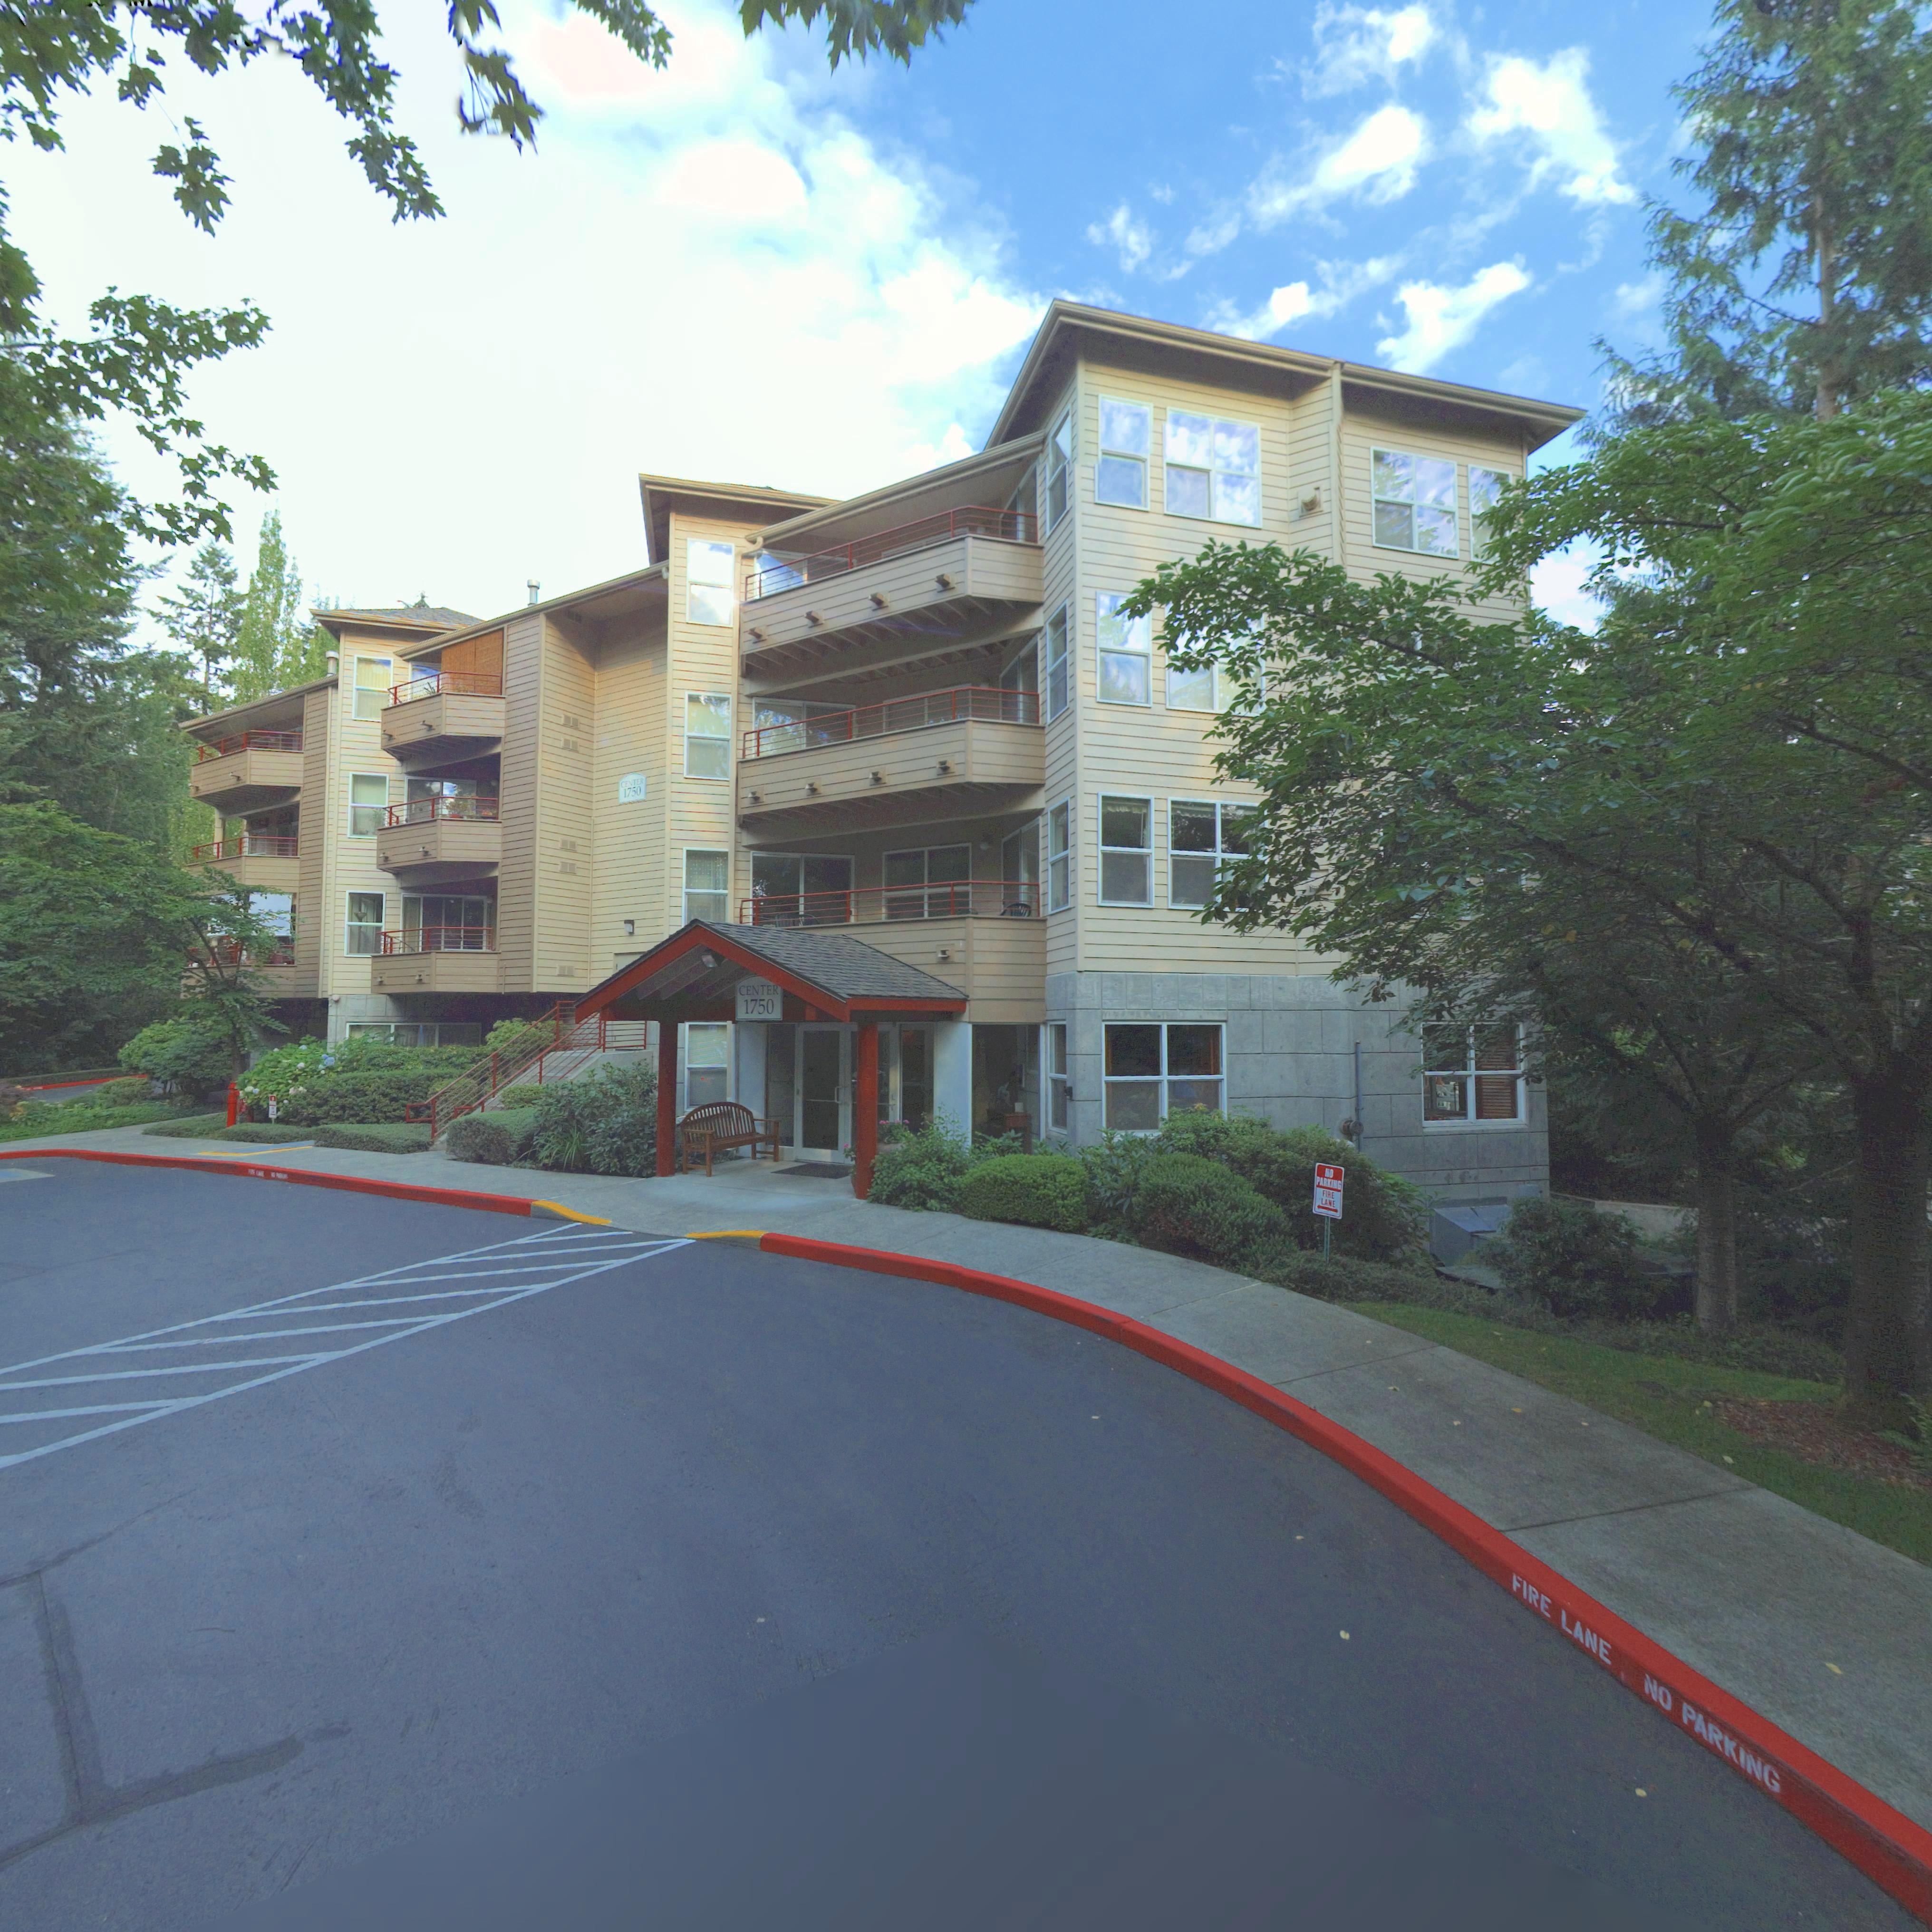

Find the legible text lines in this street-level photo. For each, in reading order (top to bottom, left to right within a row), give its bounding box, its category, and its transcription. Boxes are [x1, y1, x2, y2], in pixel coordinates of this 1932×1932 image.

[623, 784, 642, 798] StreetNumber: 1750
[738, 984, 780, 996] SecondaryUnitDesignator: CENTER
[743, 997, 775, 1015] StreetNumber: 1750